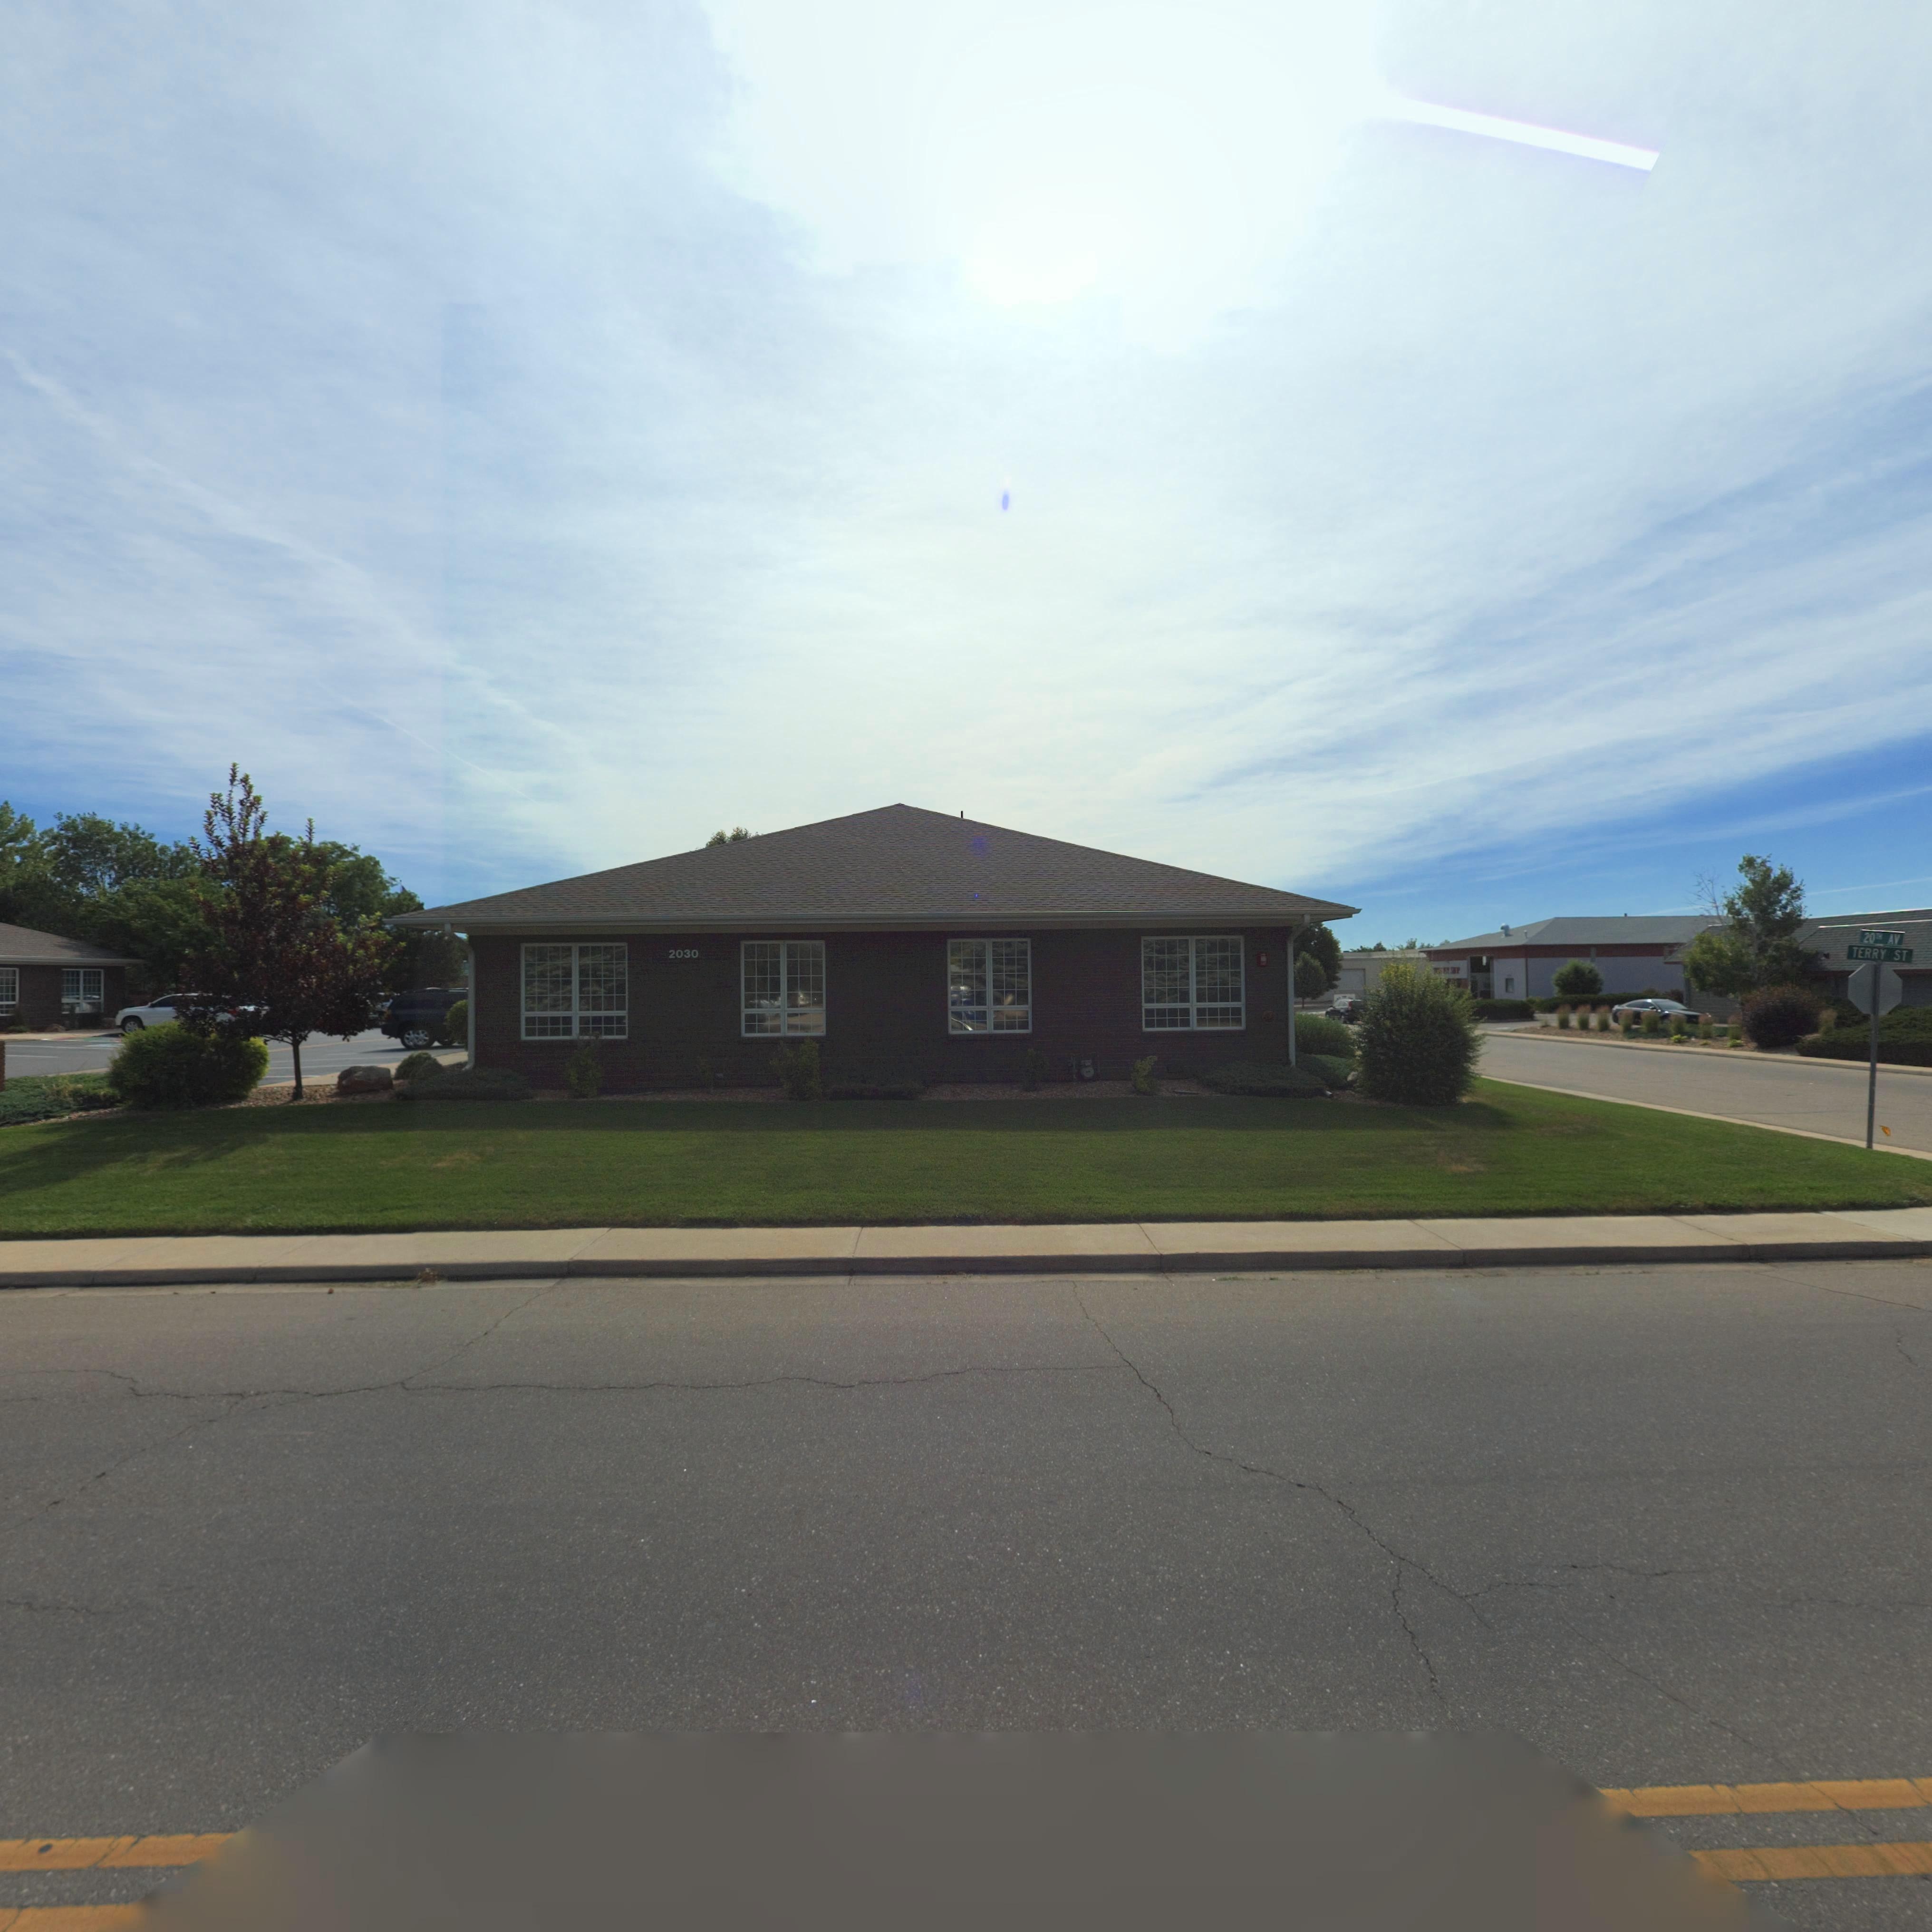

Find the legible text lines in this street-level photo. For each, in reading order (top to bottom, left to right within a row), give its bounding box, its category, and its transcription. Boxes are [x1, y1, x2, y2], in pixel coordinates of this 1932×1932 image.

[1862, 931, 1902, 946] StreetName: 20TH ST
[668, 949, 699, 958] StreetNumber: 2030
[1851, 946, 1909, 962] StreetName: TERRY ST